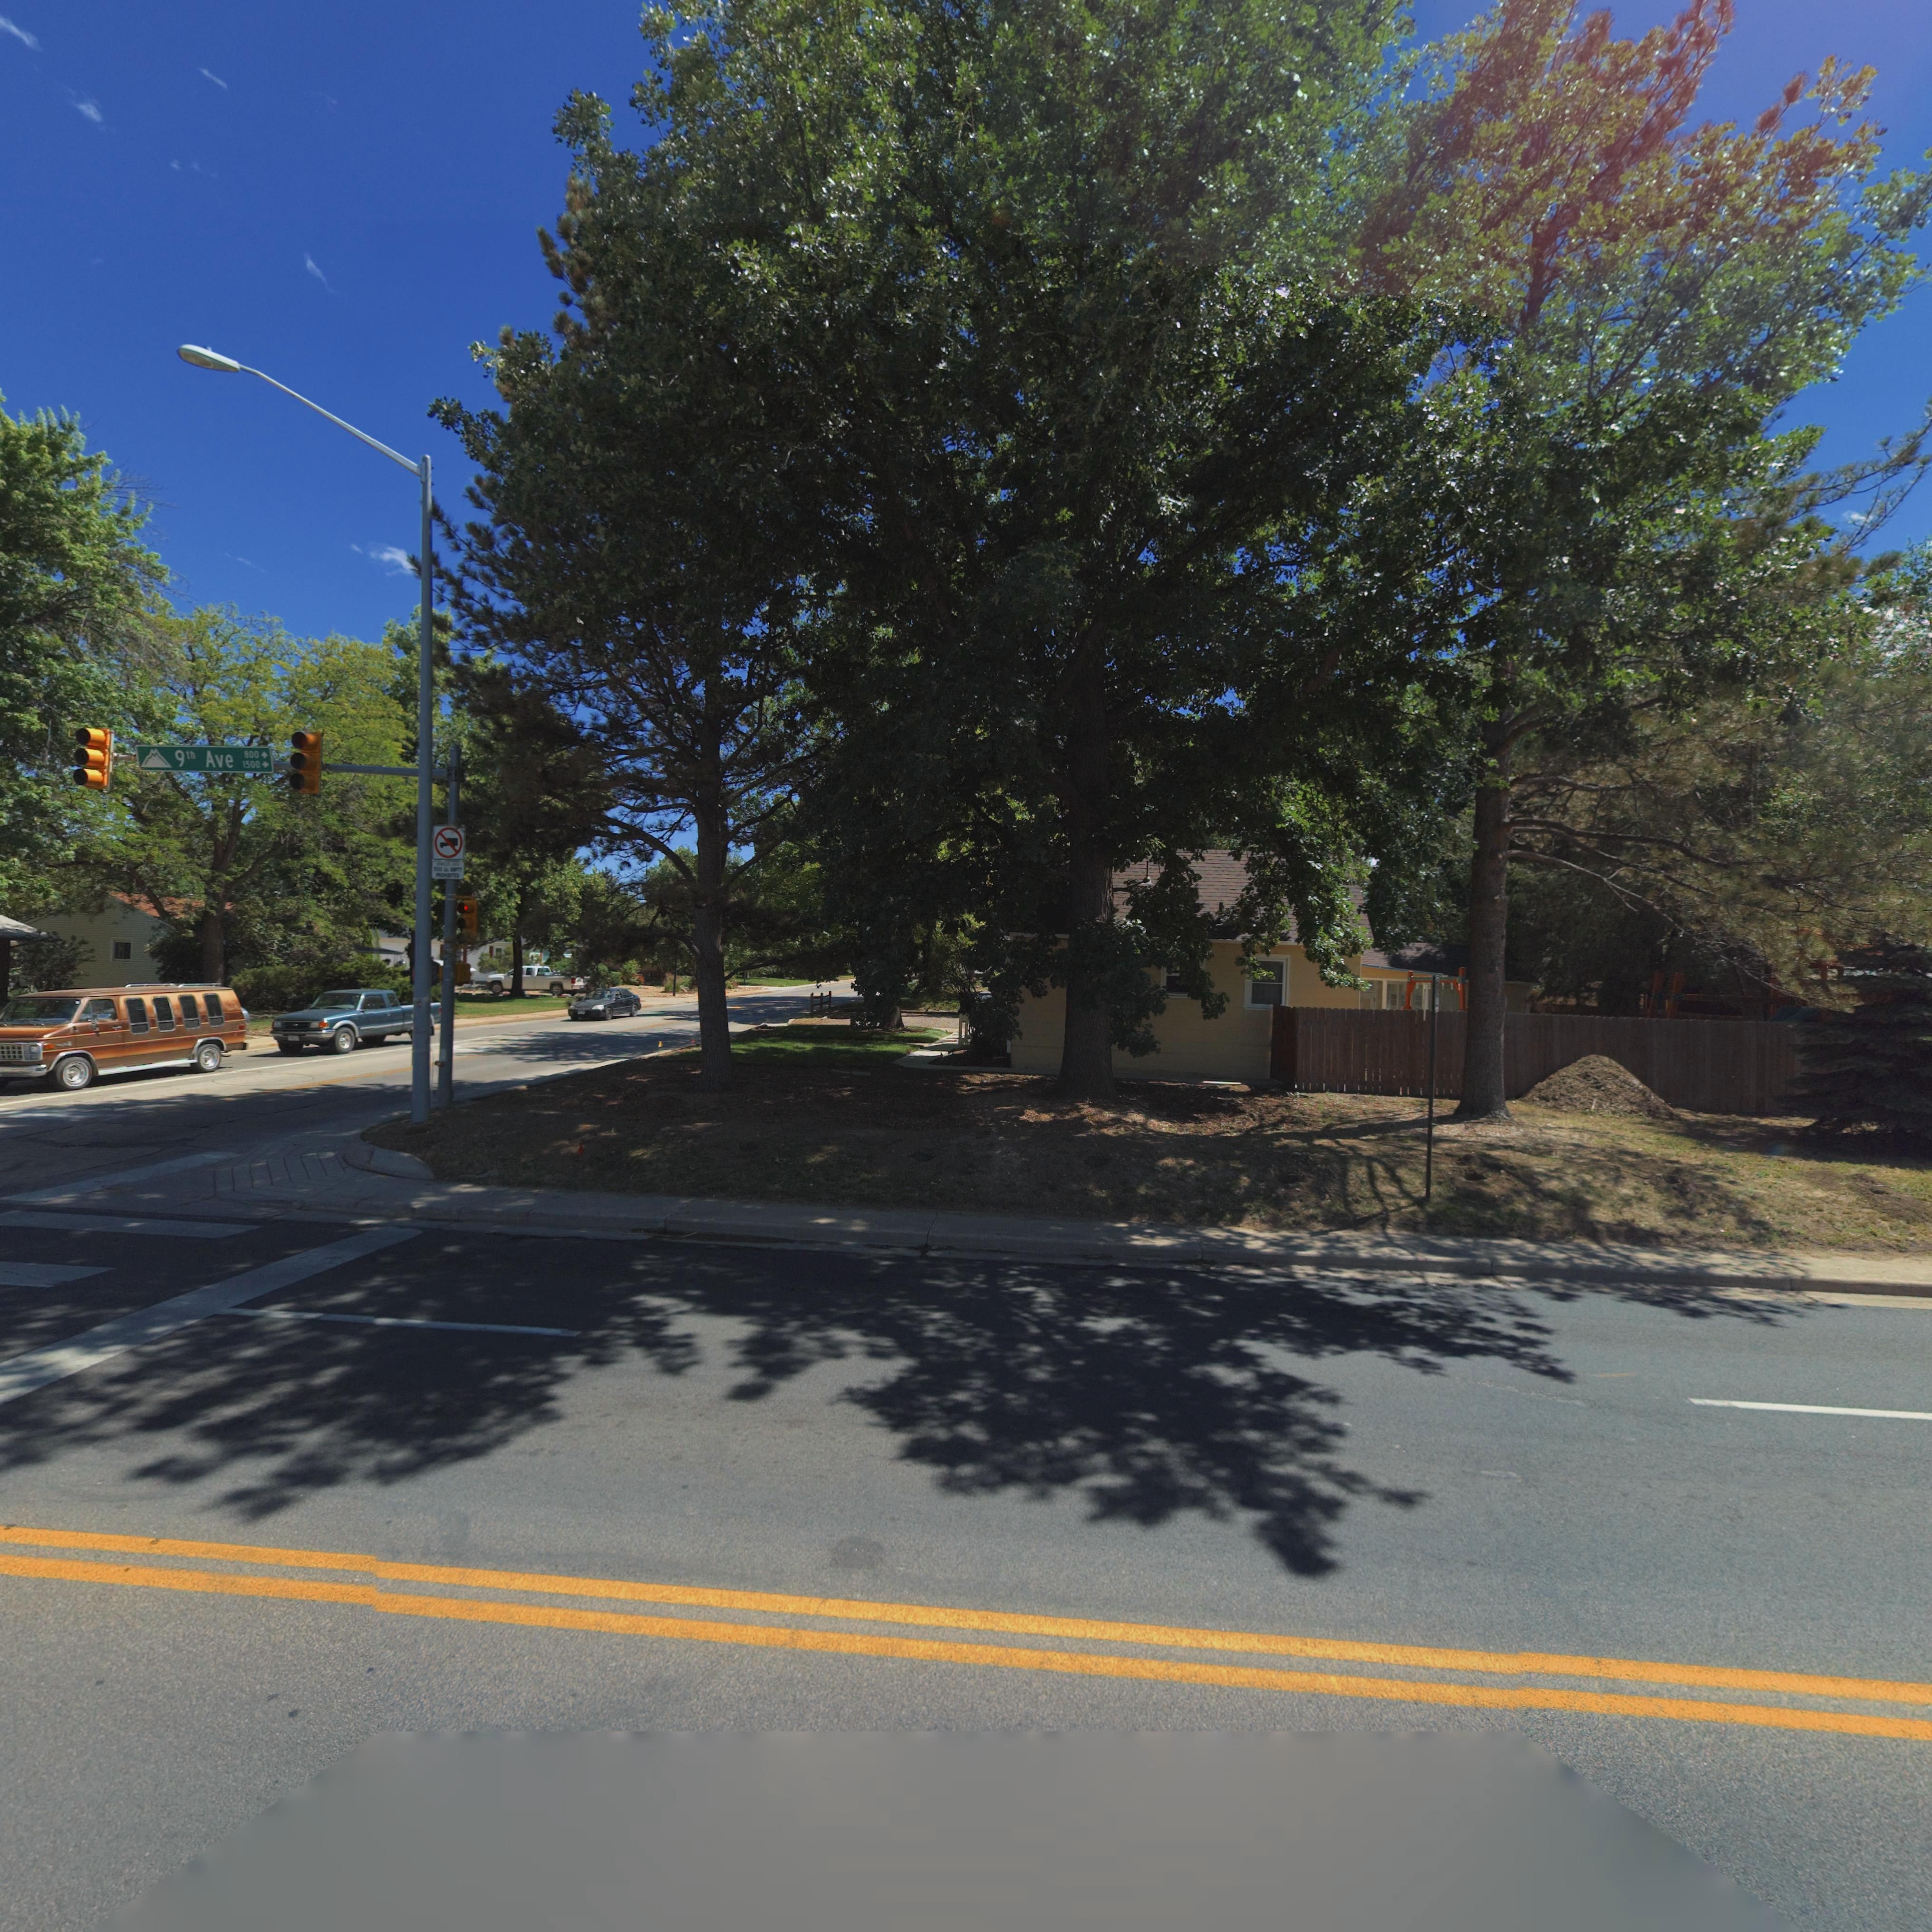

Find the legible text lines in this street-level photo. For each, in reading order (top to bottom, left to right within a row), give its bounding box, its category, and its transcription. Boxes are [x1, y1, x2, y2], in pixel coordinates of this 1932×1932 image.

[243, 750, 259, 759] StreetNumberRange: 800
[174, 749, 233, 769] StreetName: 9th Ave
[242, 760, 270, 768] StreetNumberRange: 1500->